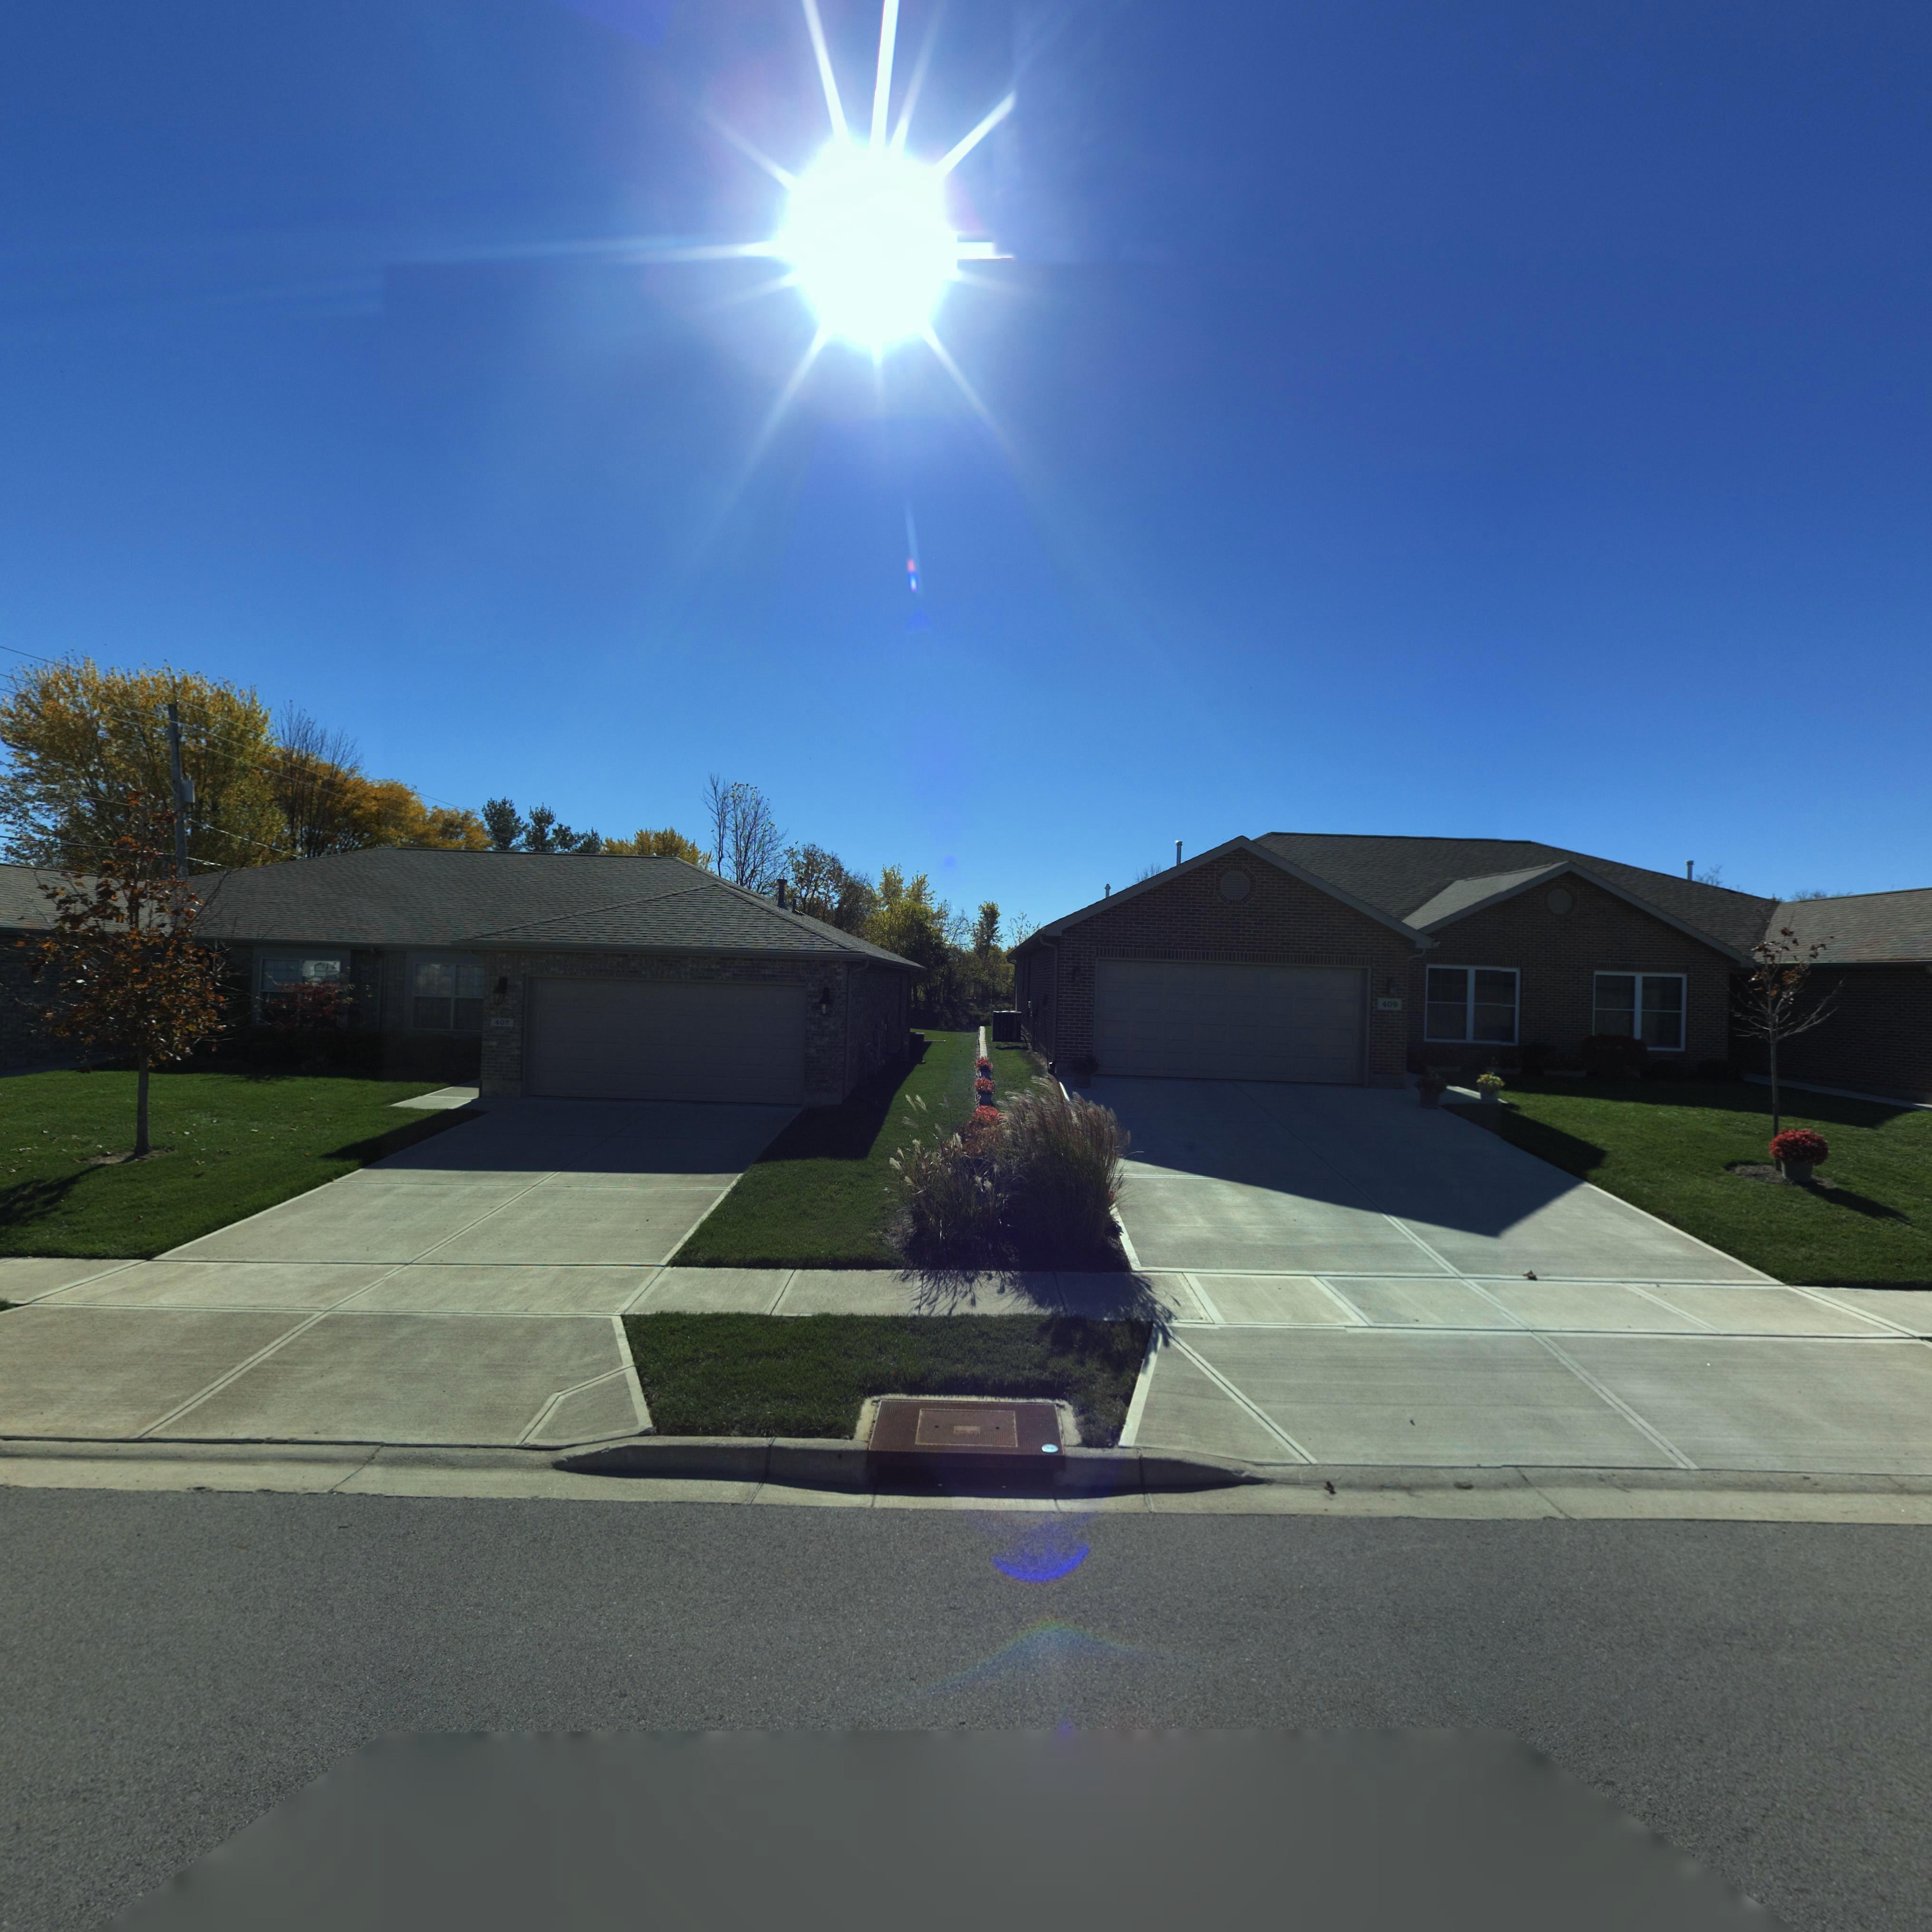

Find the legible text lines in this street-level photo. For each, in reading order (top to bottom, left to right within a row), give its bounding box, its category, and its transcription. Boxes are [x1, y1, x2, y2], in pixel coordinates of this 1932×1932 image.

[1381, 1000, 1399, 1008] StreetNumber: 409
[494, 1019, 510, 1026] StreetNumber: 407